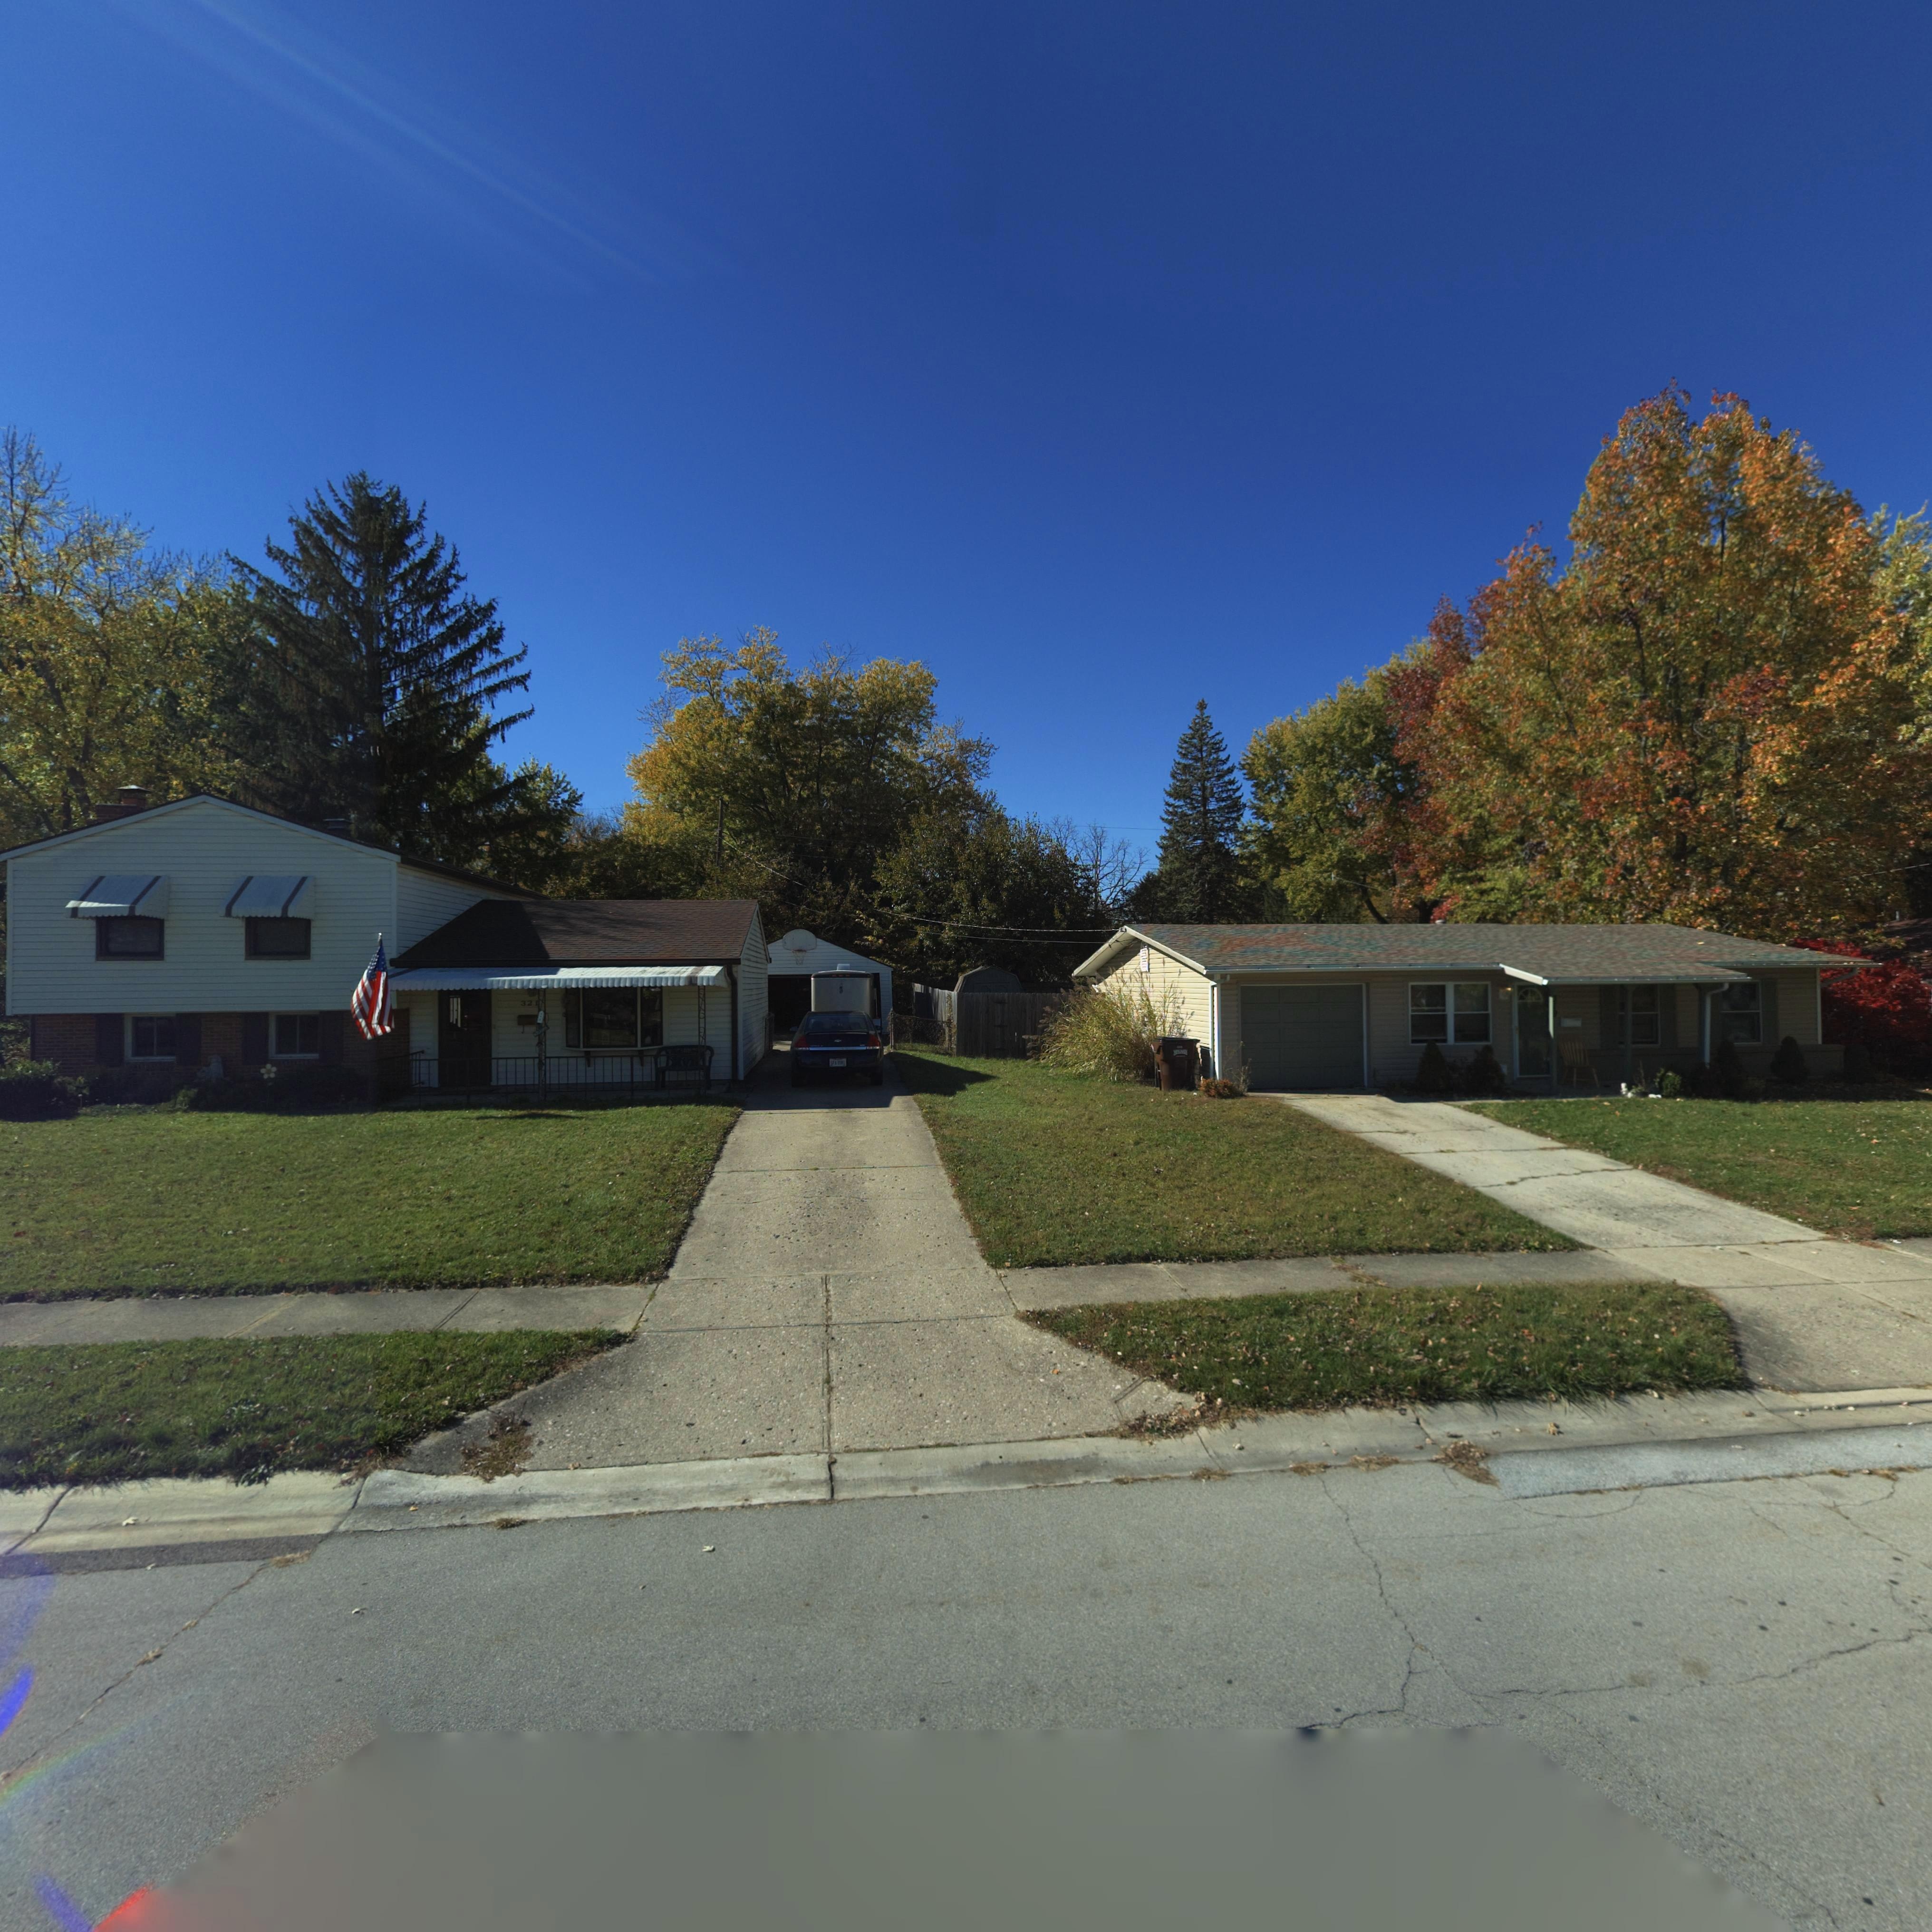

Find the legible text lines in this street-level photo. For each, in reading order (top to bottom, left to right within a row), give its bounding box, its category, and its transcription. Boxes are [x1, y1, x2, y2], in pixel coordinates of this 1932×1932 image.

[520, 999, 534, 1007] StreetNumber: 32